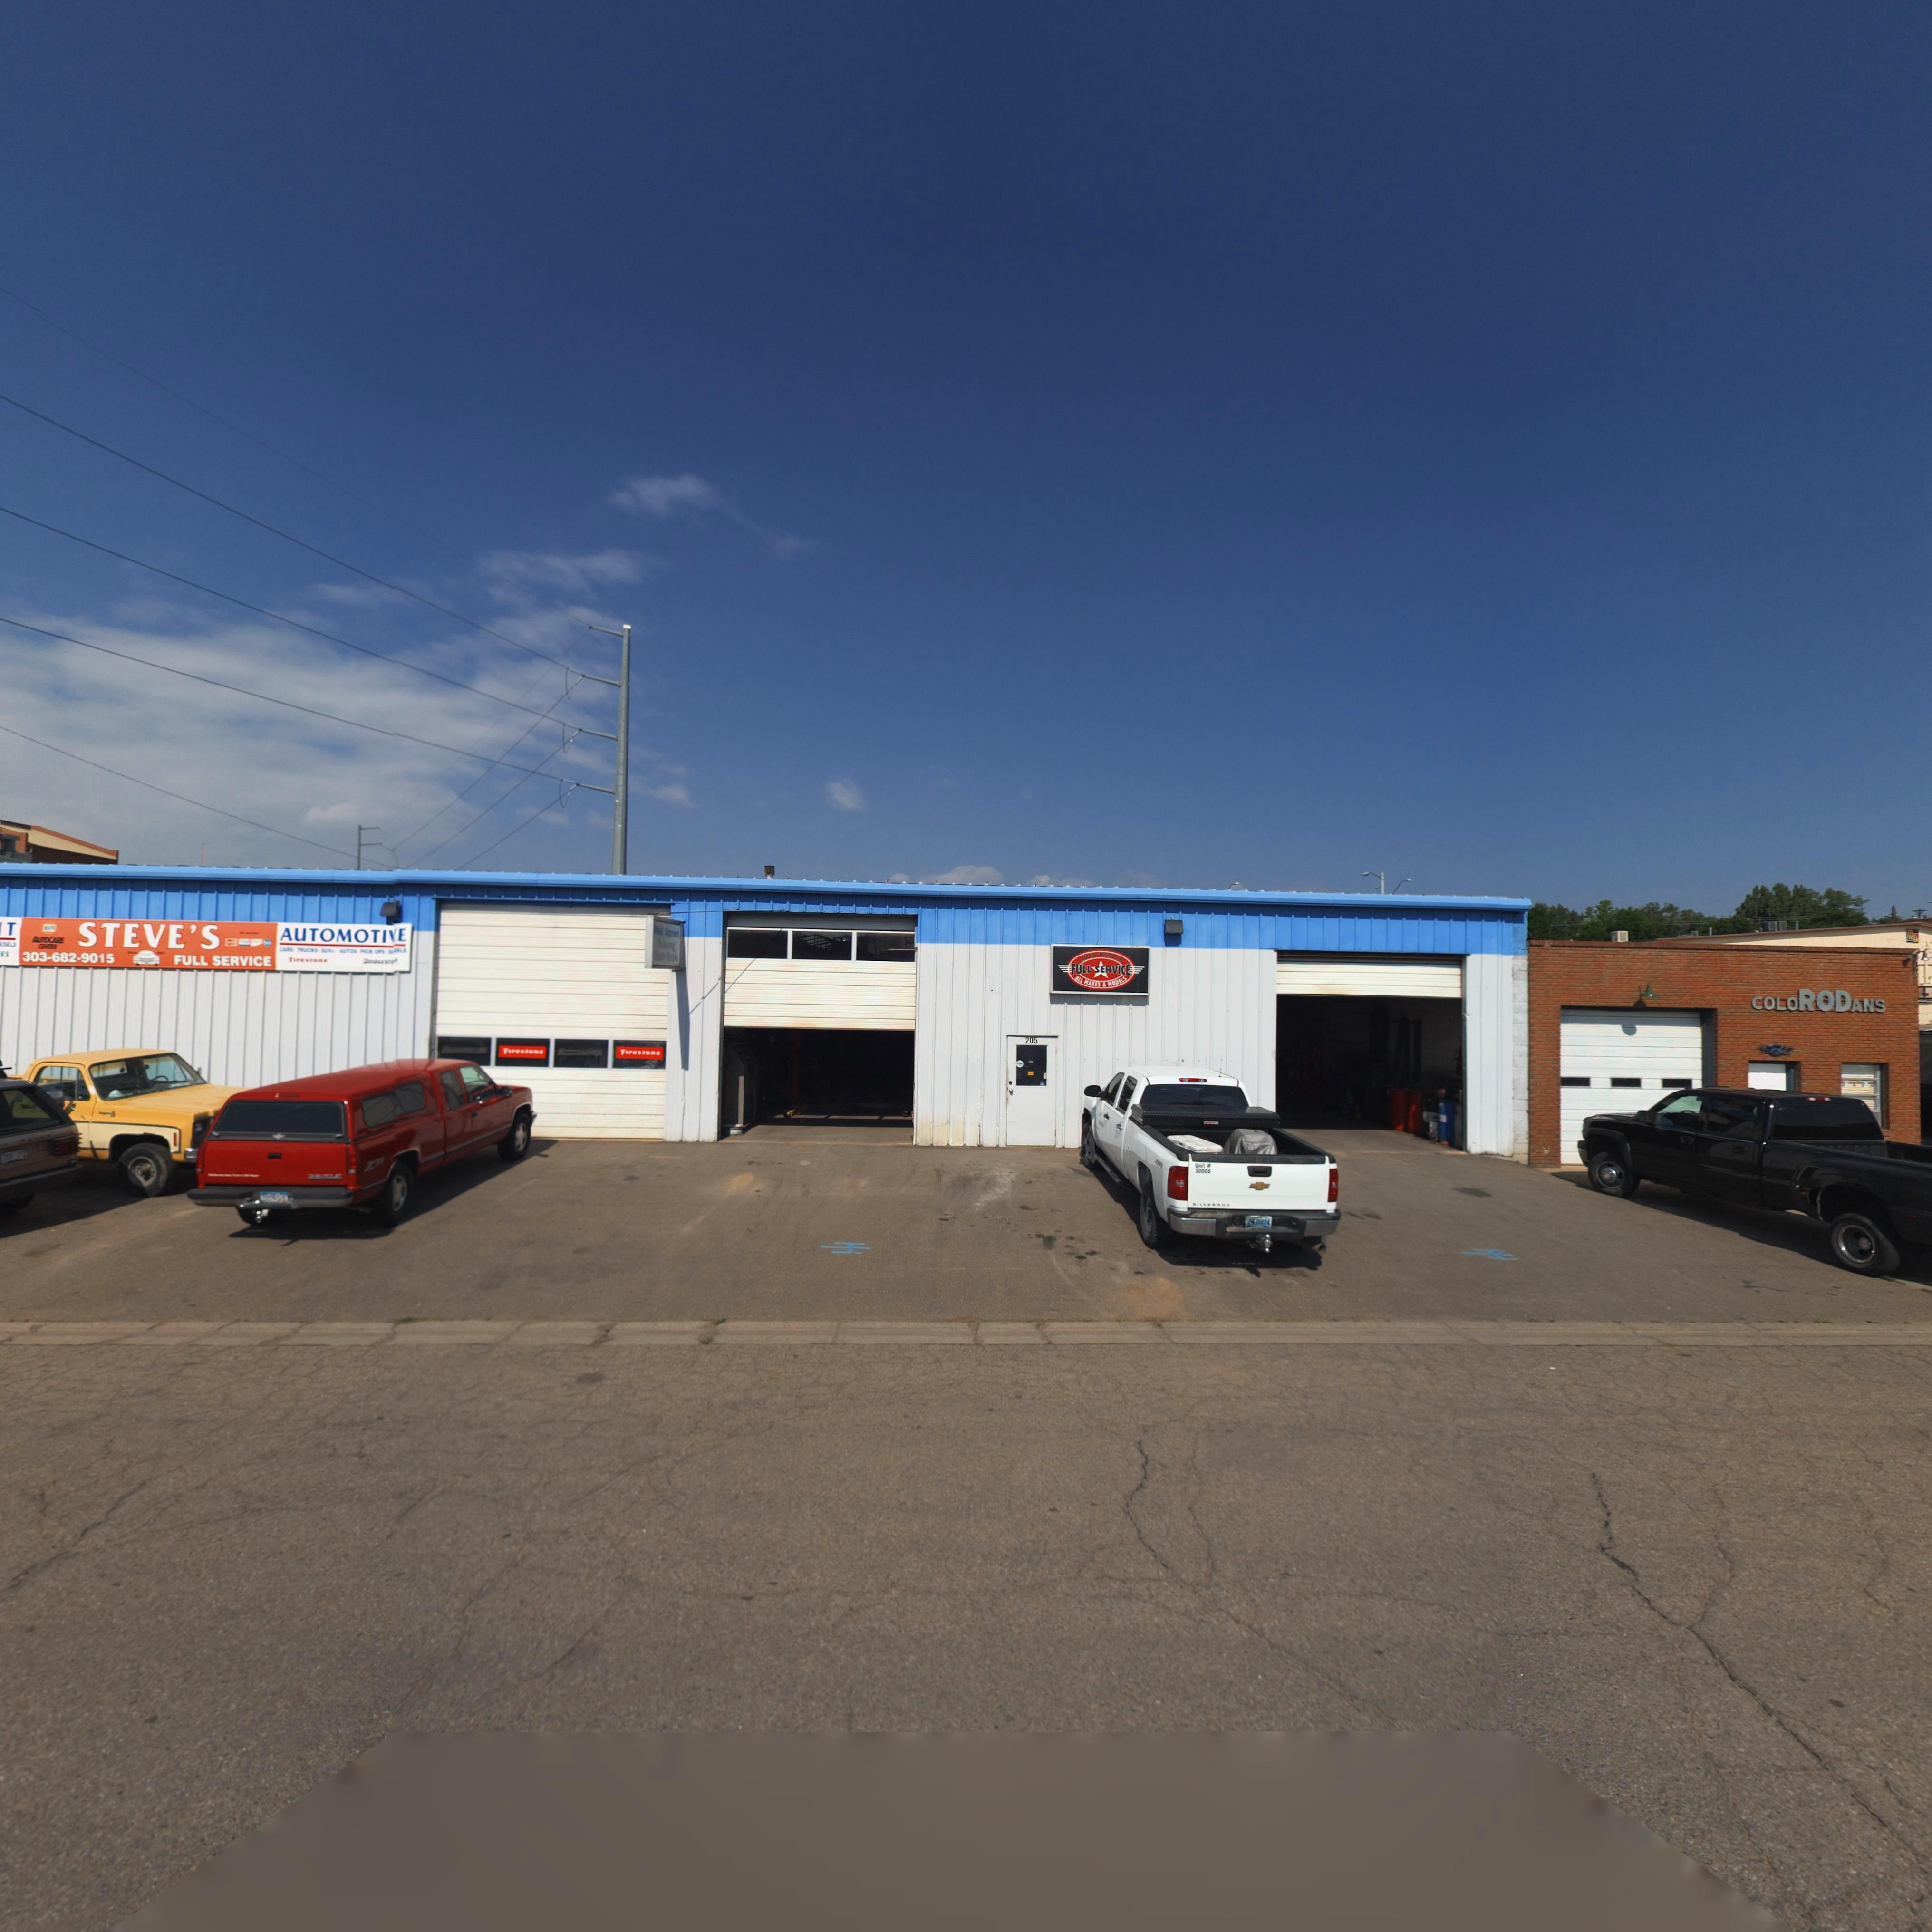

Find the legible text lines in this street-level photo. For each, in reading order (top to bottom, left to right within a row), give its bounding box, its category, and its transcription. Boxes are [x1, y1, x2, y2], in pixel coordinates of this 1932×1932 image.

[77, 921, 220, 950] BusinessName: STEVE'S
[280, 927, 406, 944] BusinessName: AUTOMOTIVE
[1751, 988, 1887, 1013] BusinessName: COLORODANS
[1025, 1036, 1038, 1044] StreetNumber: 205